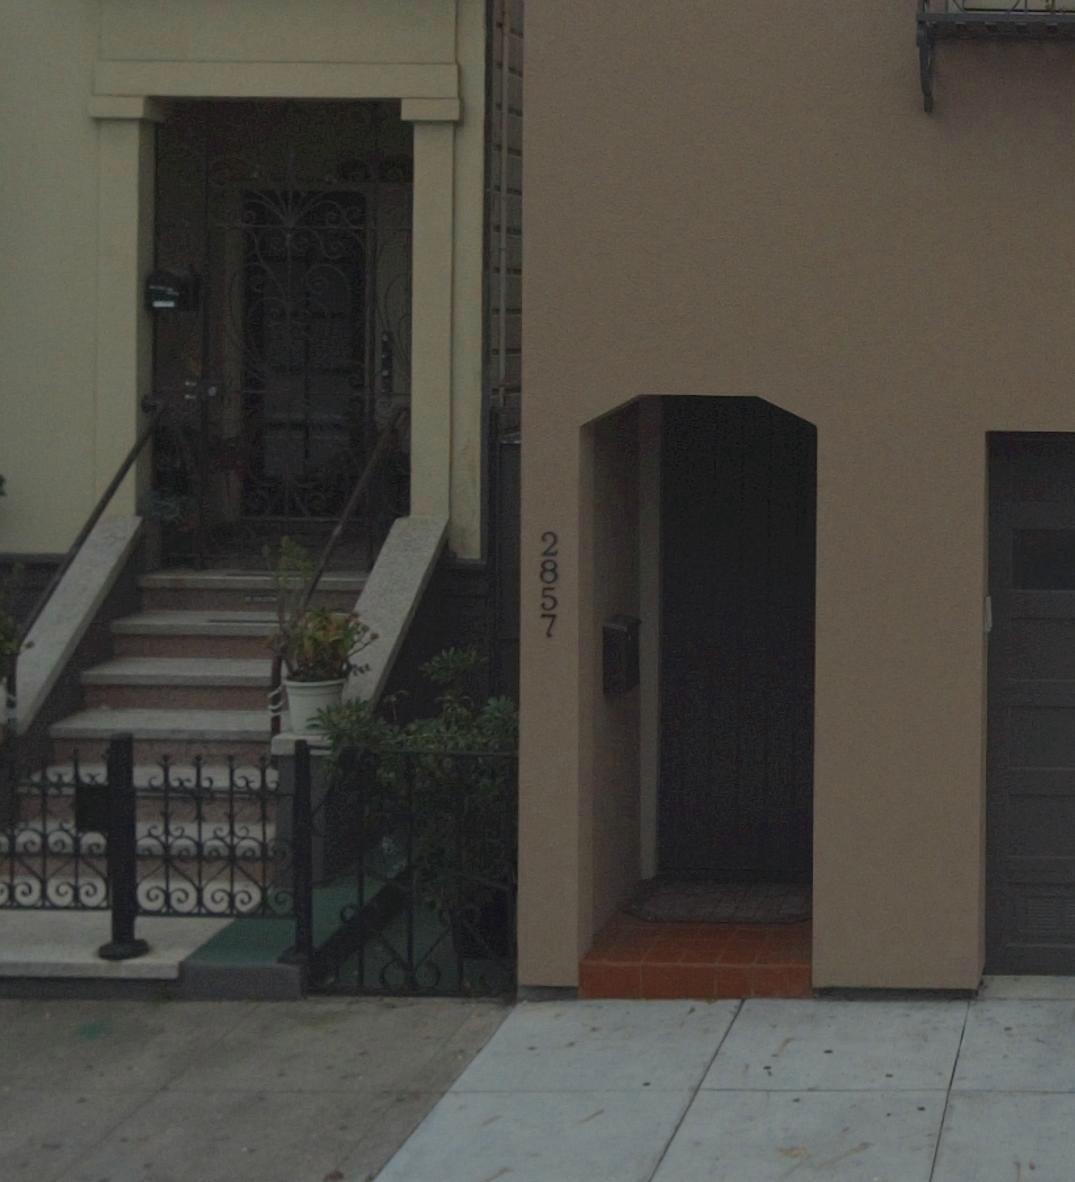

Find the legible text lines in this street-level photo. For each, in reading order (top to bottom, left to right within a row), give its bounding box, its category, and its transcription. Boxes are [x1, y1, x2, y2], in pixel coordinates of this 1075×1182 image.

[538, 530, 560, 641] StreetNumber: 2857